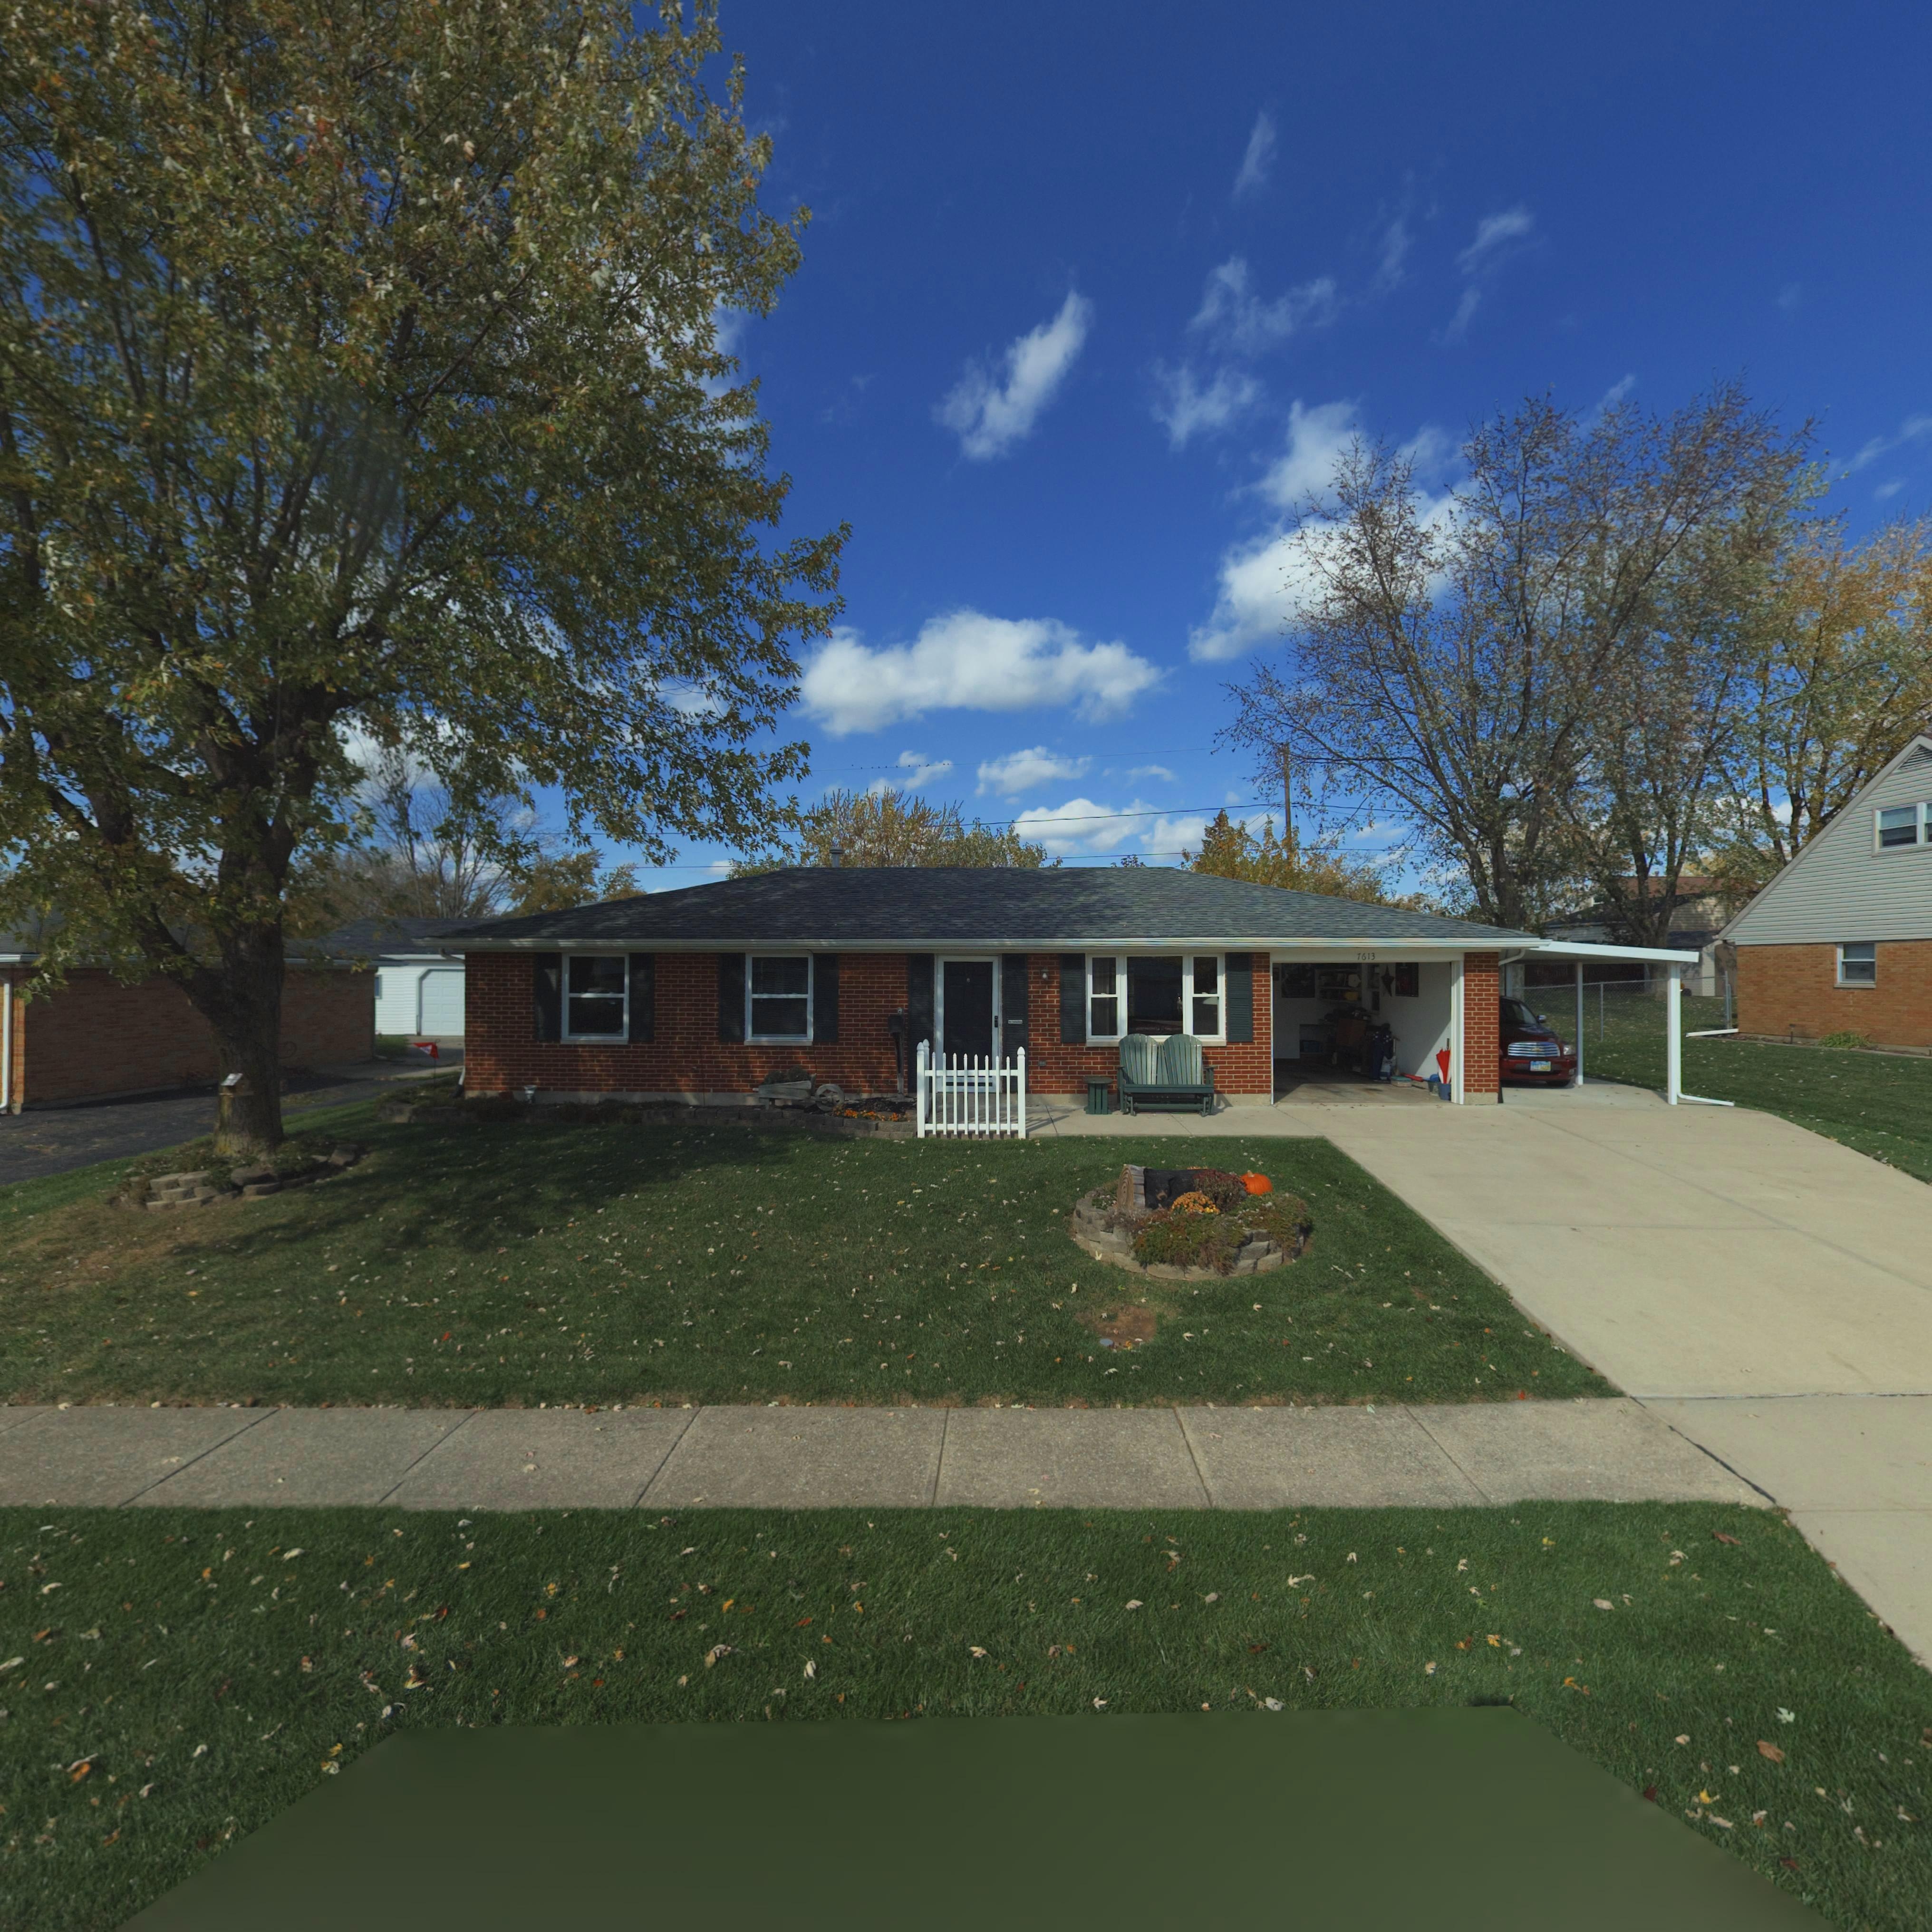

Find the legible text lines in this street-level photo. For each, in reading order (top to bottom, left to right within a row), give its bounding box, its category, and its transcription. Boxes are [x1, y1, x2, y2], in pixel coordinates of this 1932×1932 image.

[1357, 952, 1375, 960] StreetNumber: 7613